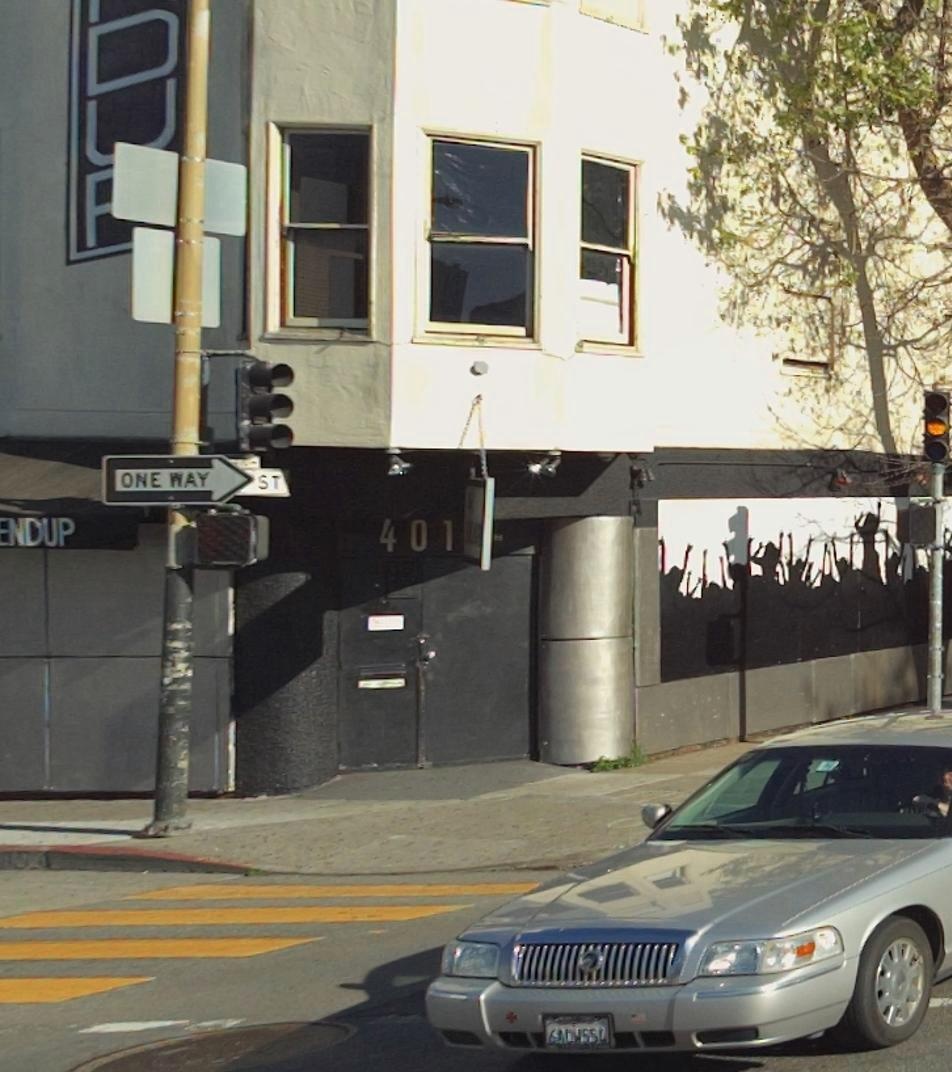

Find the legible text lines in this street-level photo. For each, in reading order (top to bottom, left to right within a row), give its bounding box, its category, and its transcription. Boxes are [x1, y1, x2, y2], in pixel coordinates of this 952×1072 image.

[119, 469, 211, 489] None: ONE WAY
[256, 473, 282, 492] StreetName: ST
[6, 515, 77, 550] BusinessName: NDUP
[377, 516, 455, 555] StreetNumber: 401
[547, 1026, 609, 1046] None: 6ADW55*